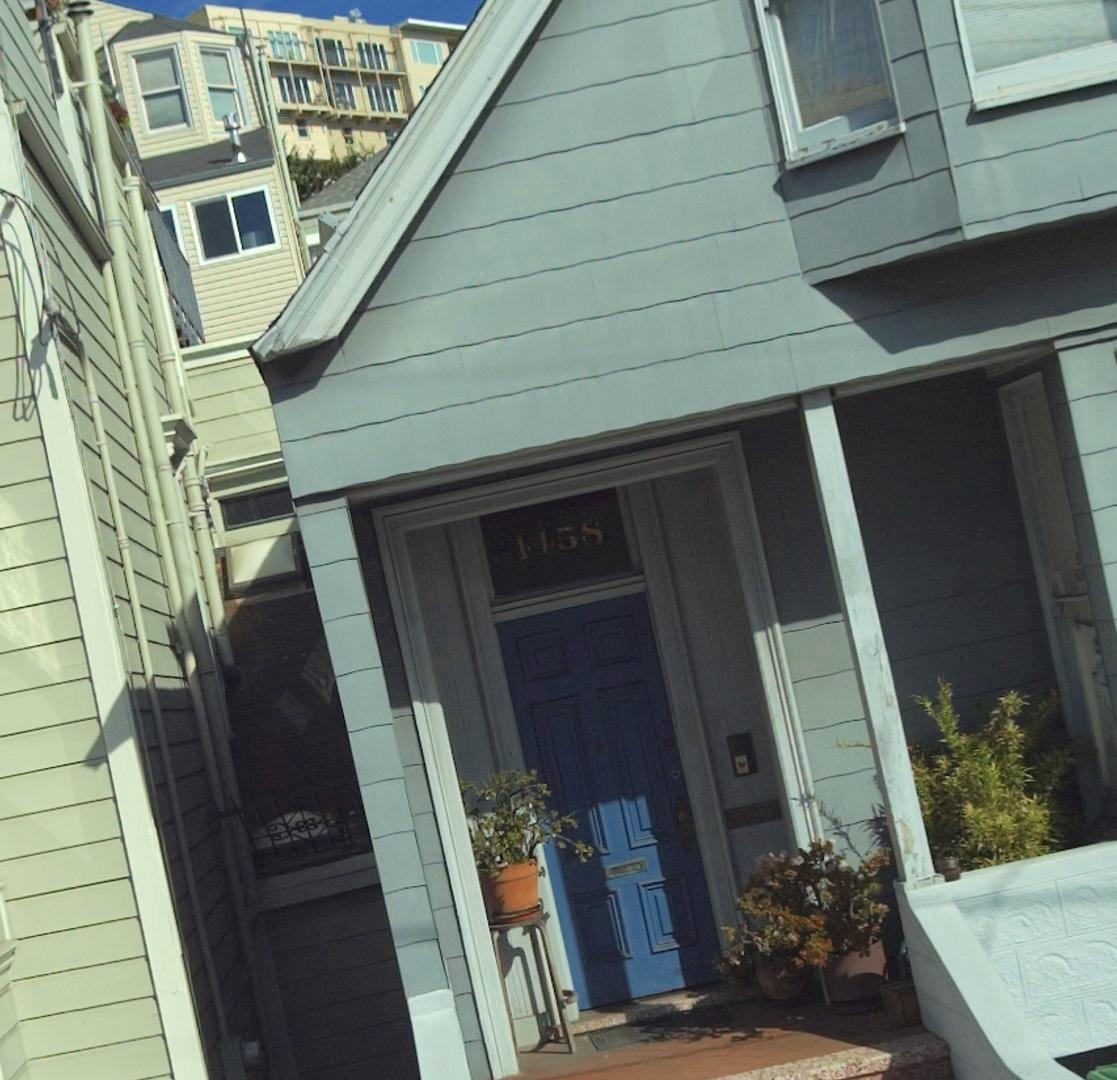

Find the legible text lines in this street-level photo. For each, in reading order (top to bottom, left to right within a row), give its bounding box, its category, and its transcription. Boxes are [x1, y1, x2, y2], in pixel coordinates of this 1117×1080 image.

[508, 516, 606, 562] StreetNumber: 4458